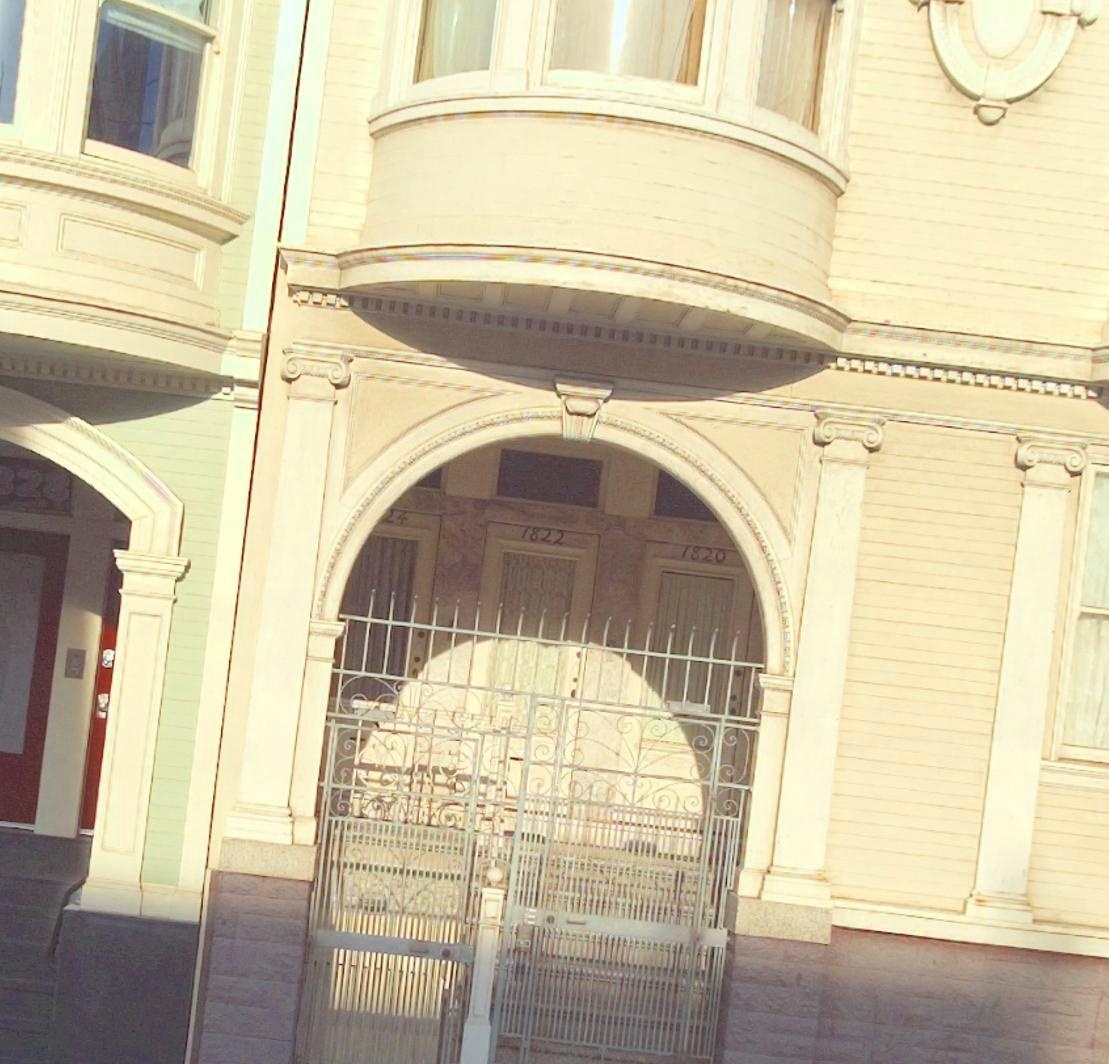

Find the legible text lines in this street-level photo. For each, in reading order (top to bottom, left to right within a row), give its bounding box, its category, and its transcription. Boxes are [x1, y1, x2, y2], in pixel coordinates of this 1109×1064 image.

[379, 505, 412, 527] StreetNumber: 24
[517, 522, 568, 549] StreetNumber: 1822
[676, 541, 730, 566] StreetNumber: 1820